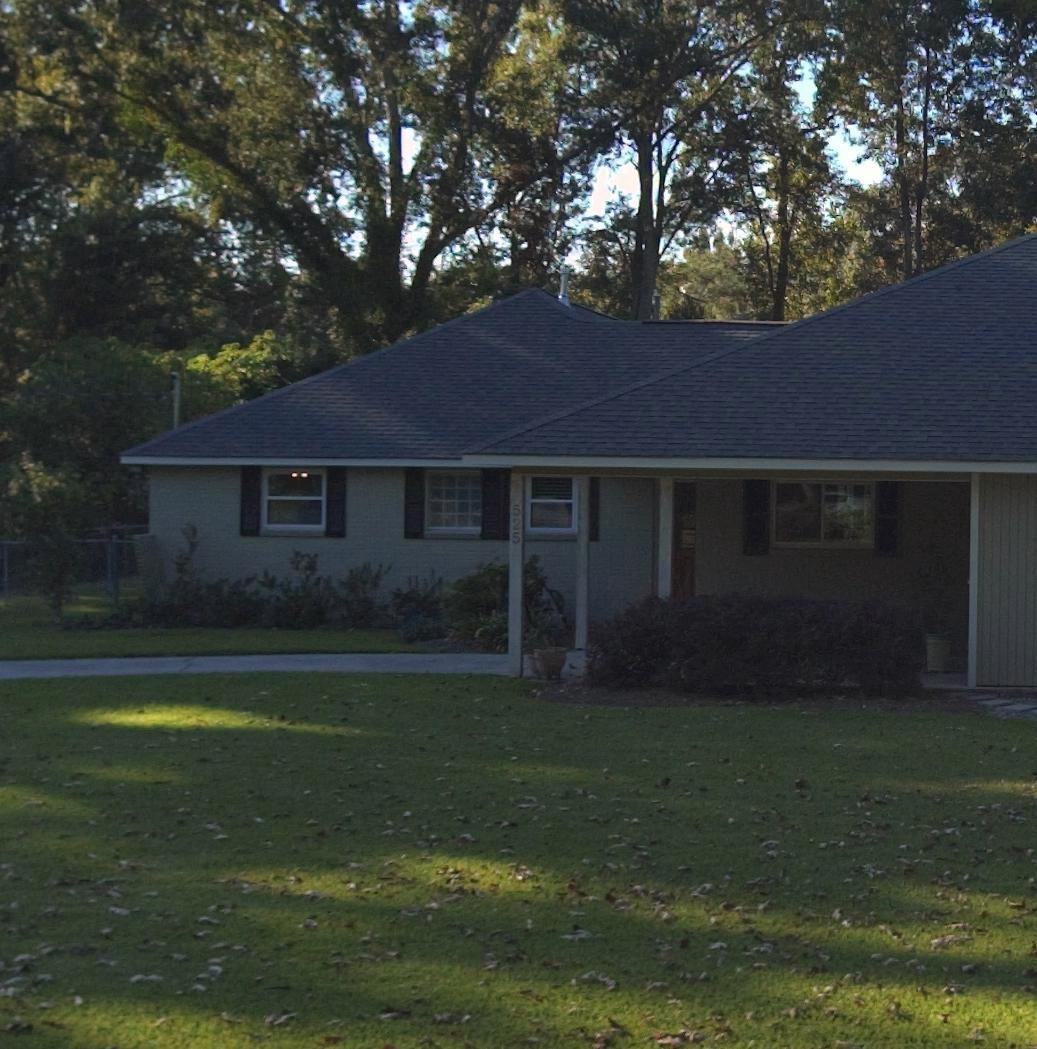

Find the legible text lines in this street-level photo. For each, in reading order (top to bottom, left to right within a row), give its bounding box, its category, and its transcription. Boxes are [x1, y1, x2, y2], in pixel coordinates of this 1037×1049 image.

[510, 502, 523, 546] StreetNumber: 525